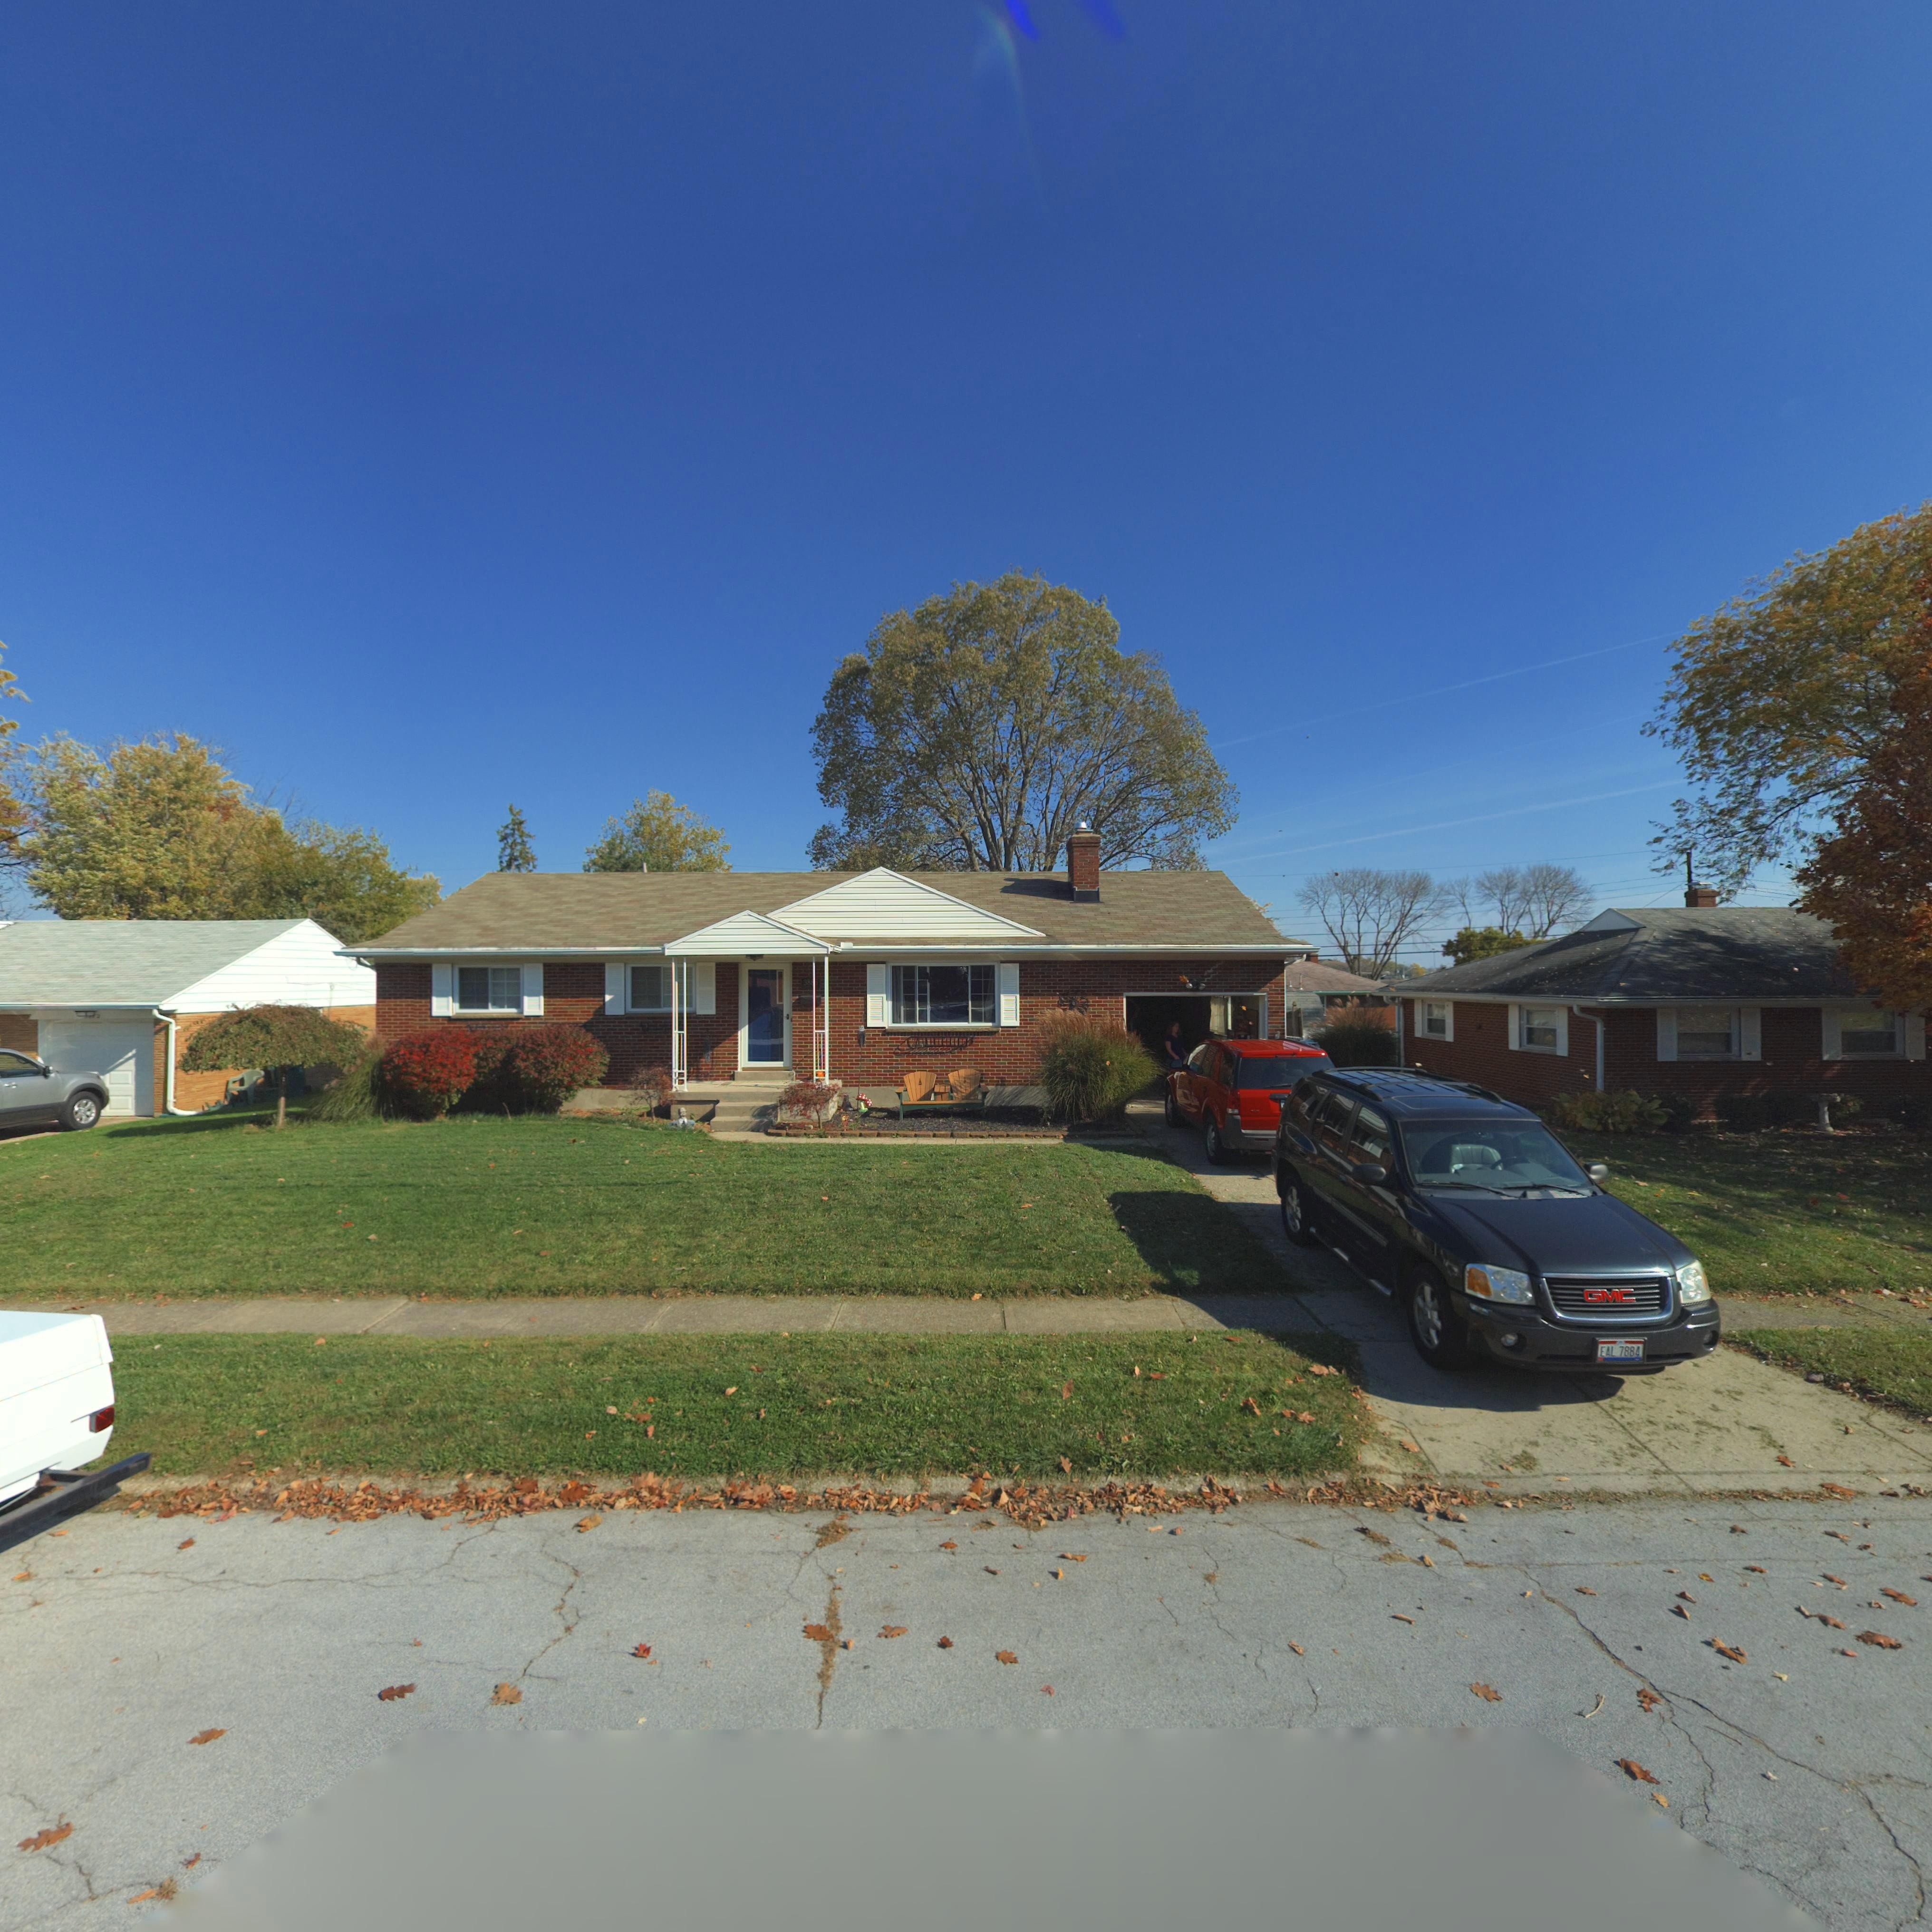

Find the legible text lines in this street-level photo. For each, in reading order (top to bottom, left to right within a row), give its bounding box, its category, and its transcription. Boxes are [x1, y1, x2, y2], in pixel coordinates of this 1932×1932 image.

[803, 978, 811, 986] StreetNumber: 38
[1583, 1288, 1637, 1303] None: GMC
[1600, 1345, 1641, 1357] None: EAL 7884